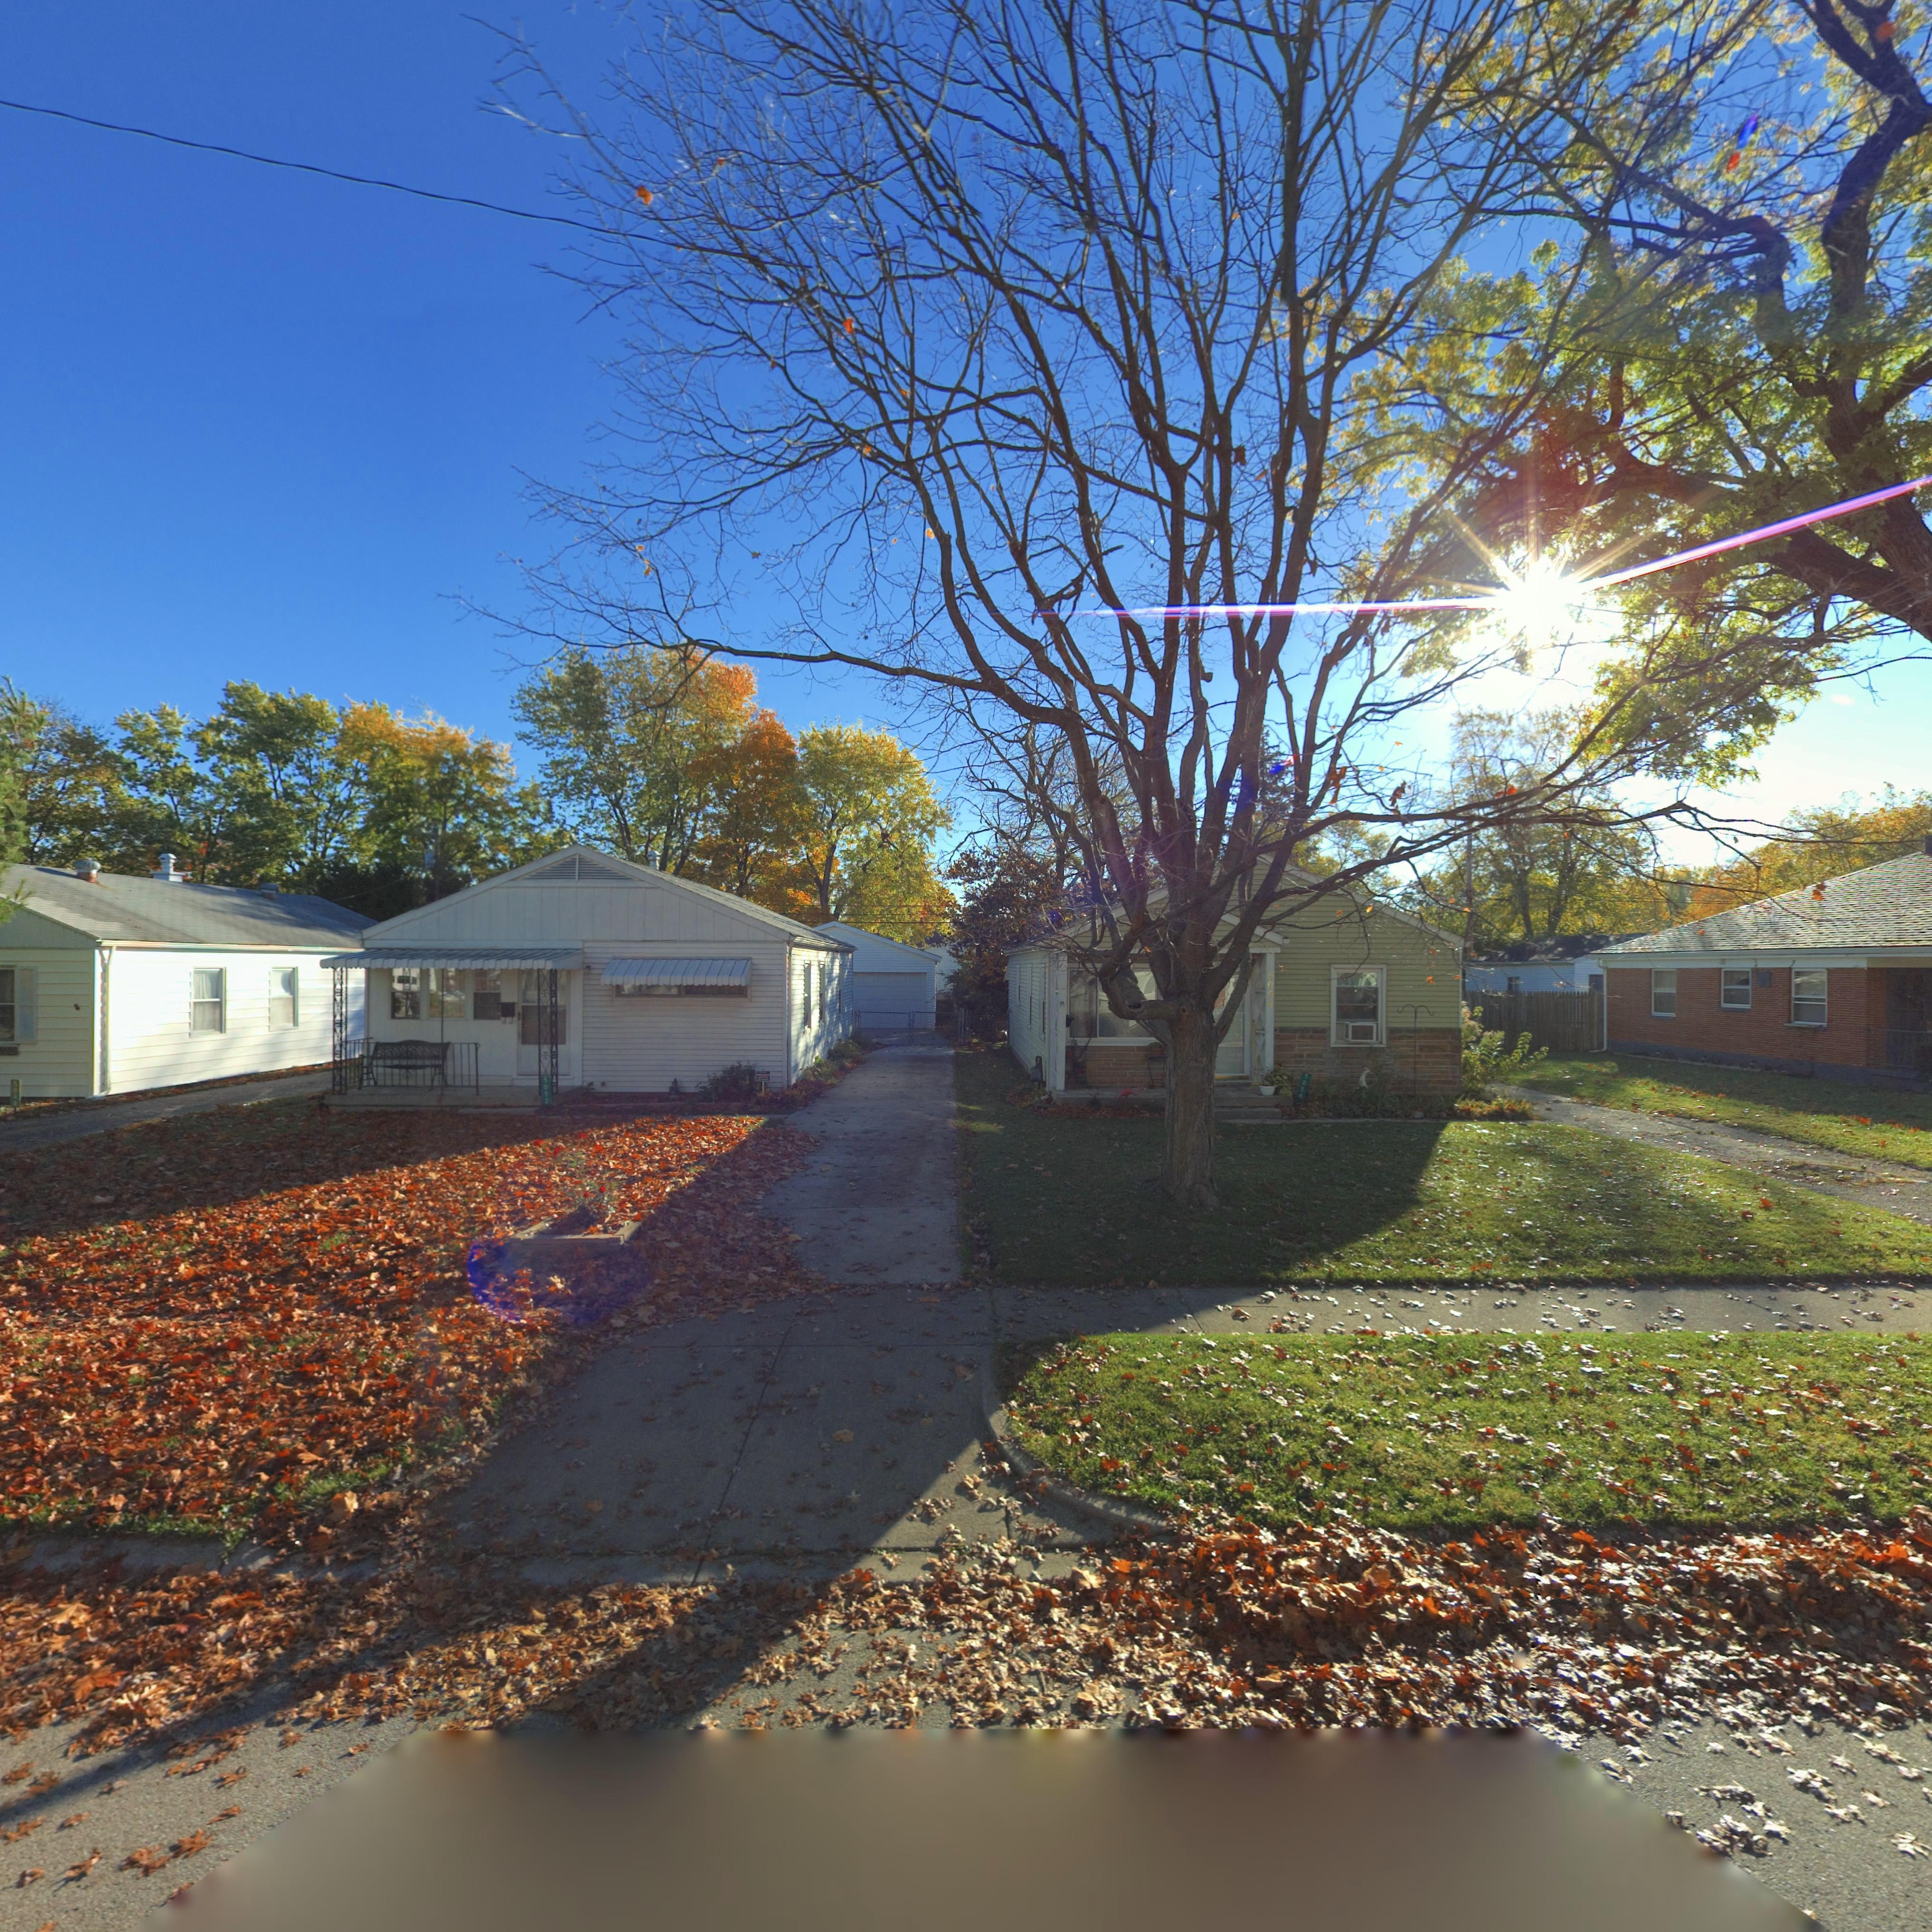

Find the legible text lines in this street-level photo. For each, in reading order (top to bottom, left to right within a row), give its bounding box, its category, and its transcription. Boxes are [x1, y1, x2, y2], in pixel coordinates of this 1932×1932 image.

[543, 1076, 549, 1104] StreetNumber: 5052